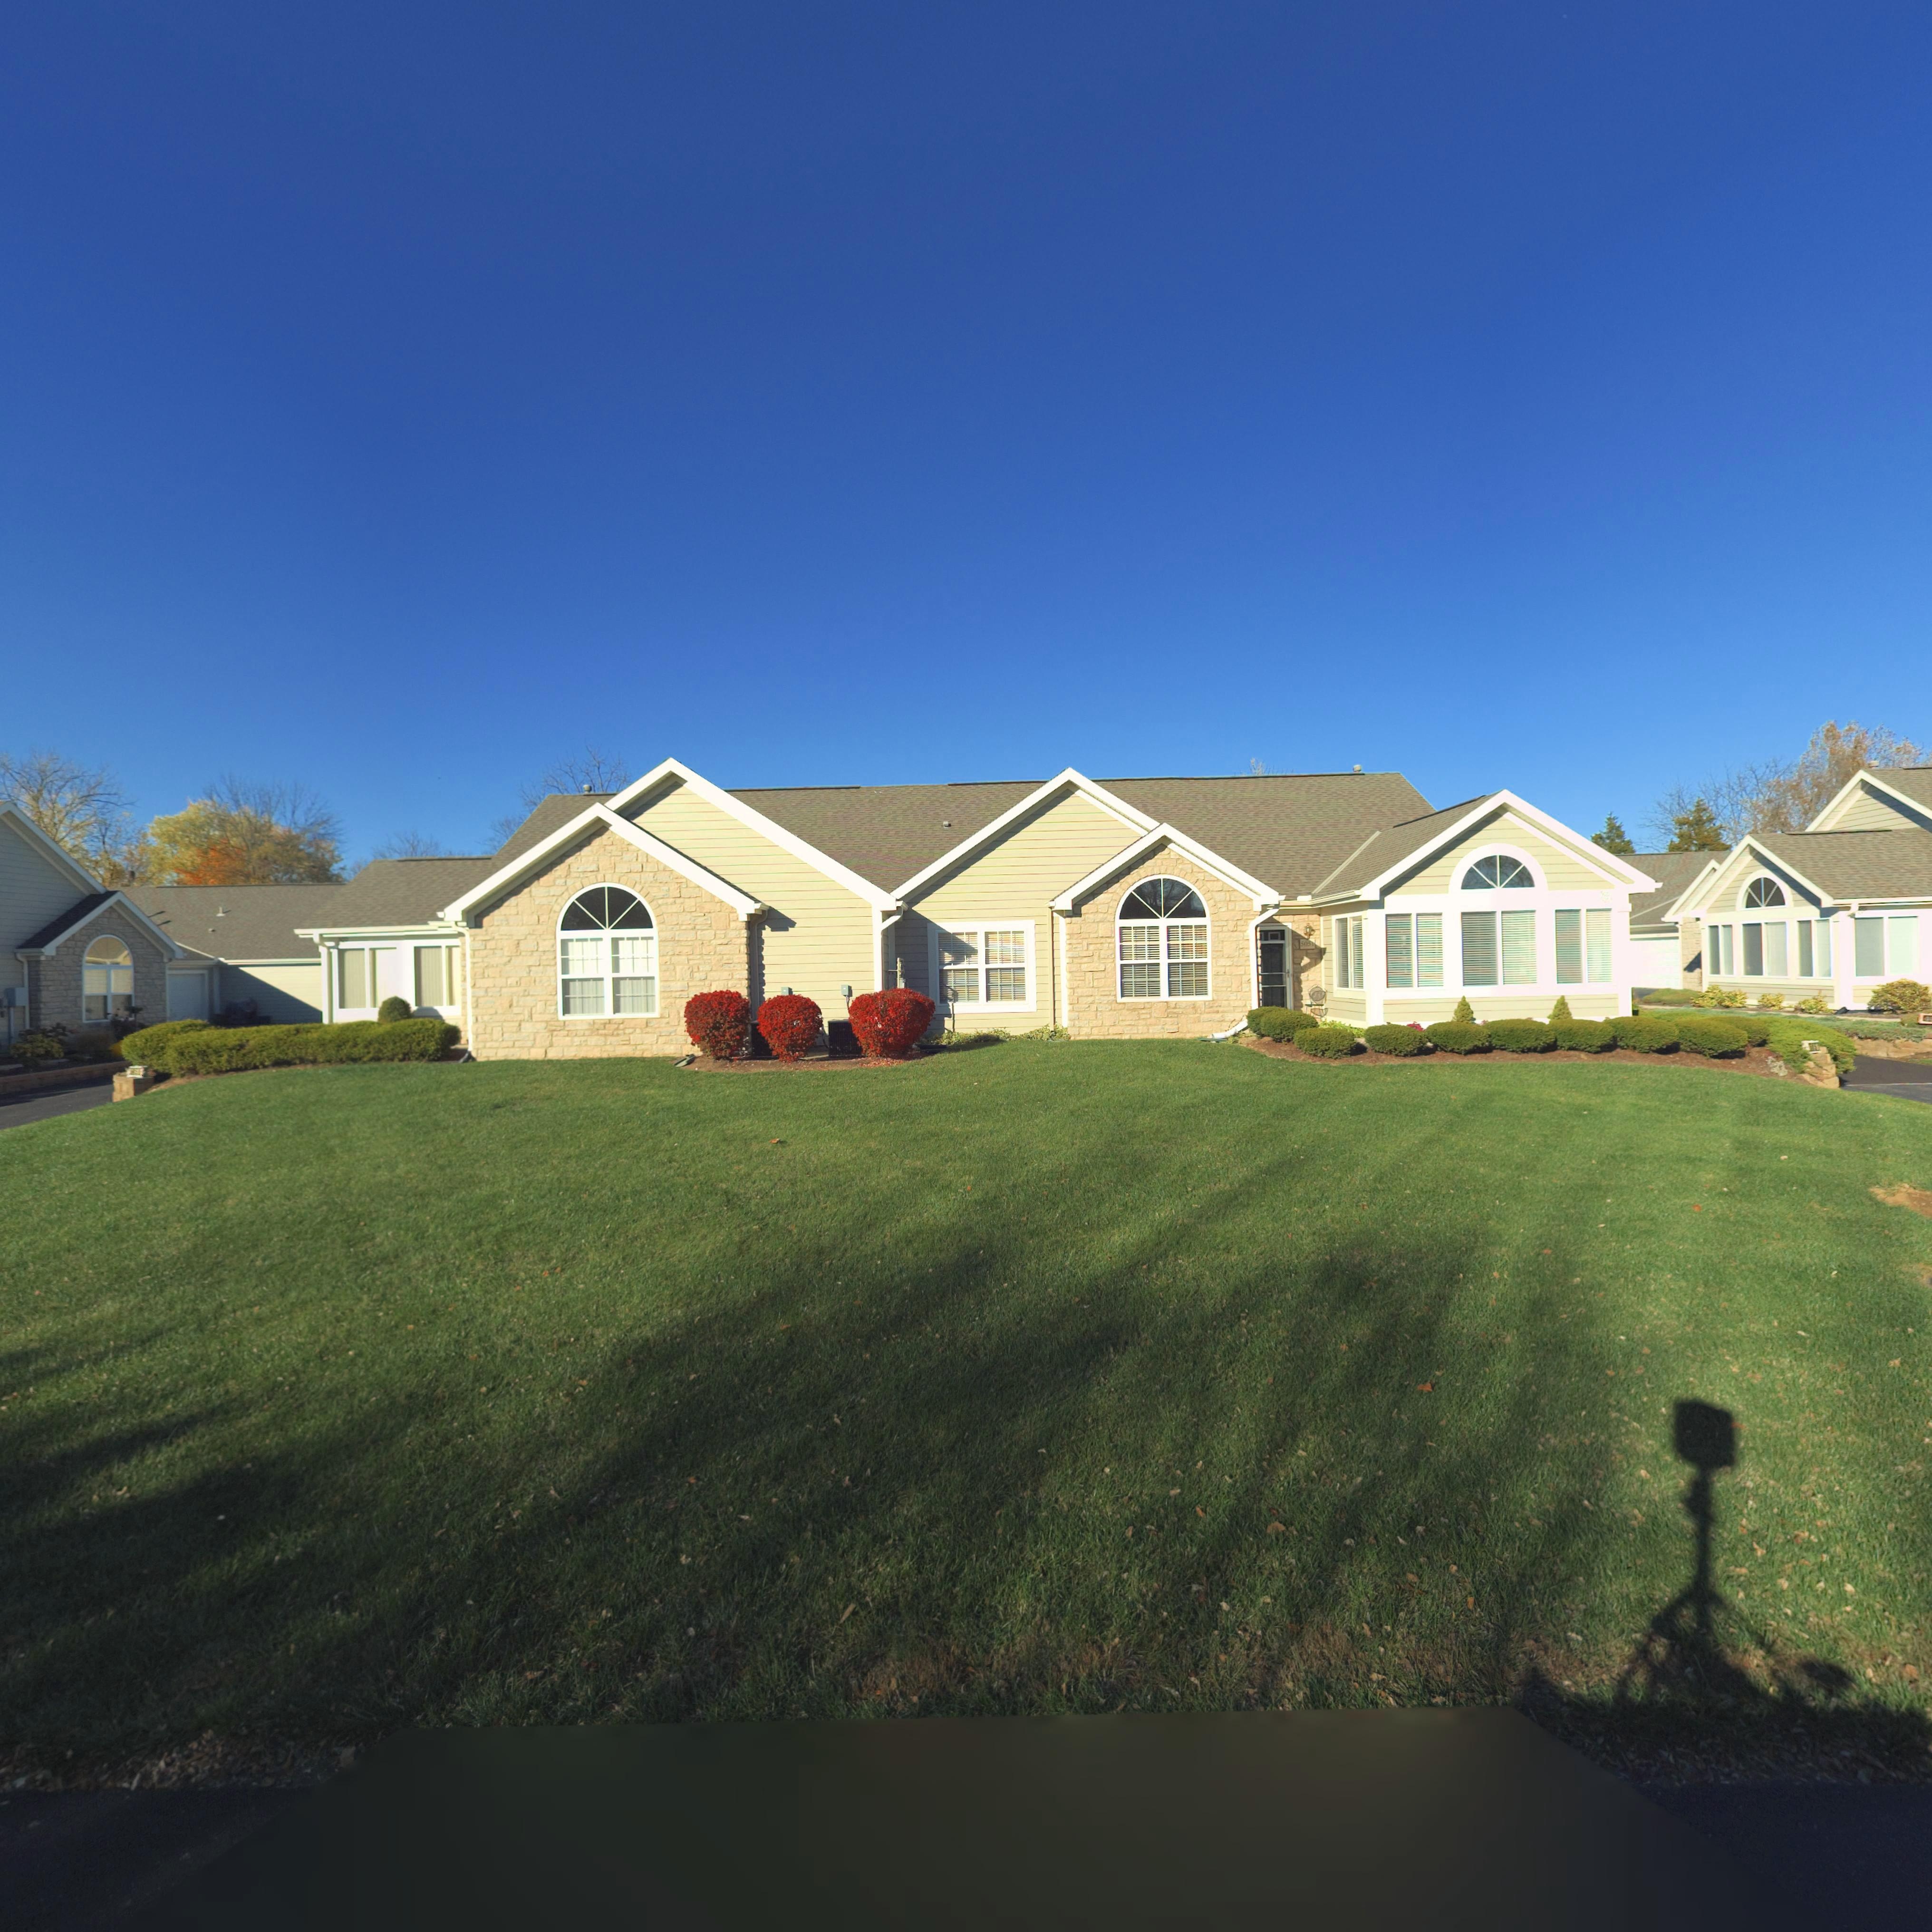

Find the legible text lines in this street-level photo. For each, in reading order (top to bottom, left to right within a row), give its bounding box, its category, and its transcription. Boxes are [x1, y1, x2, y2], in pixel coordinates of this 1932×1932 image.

[1299, 940, 1315, 947] StreetNumber: 5051